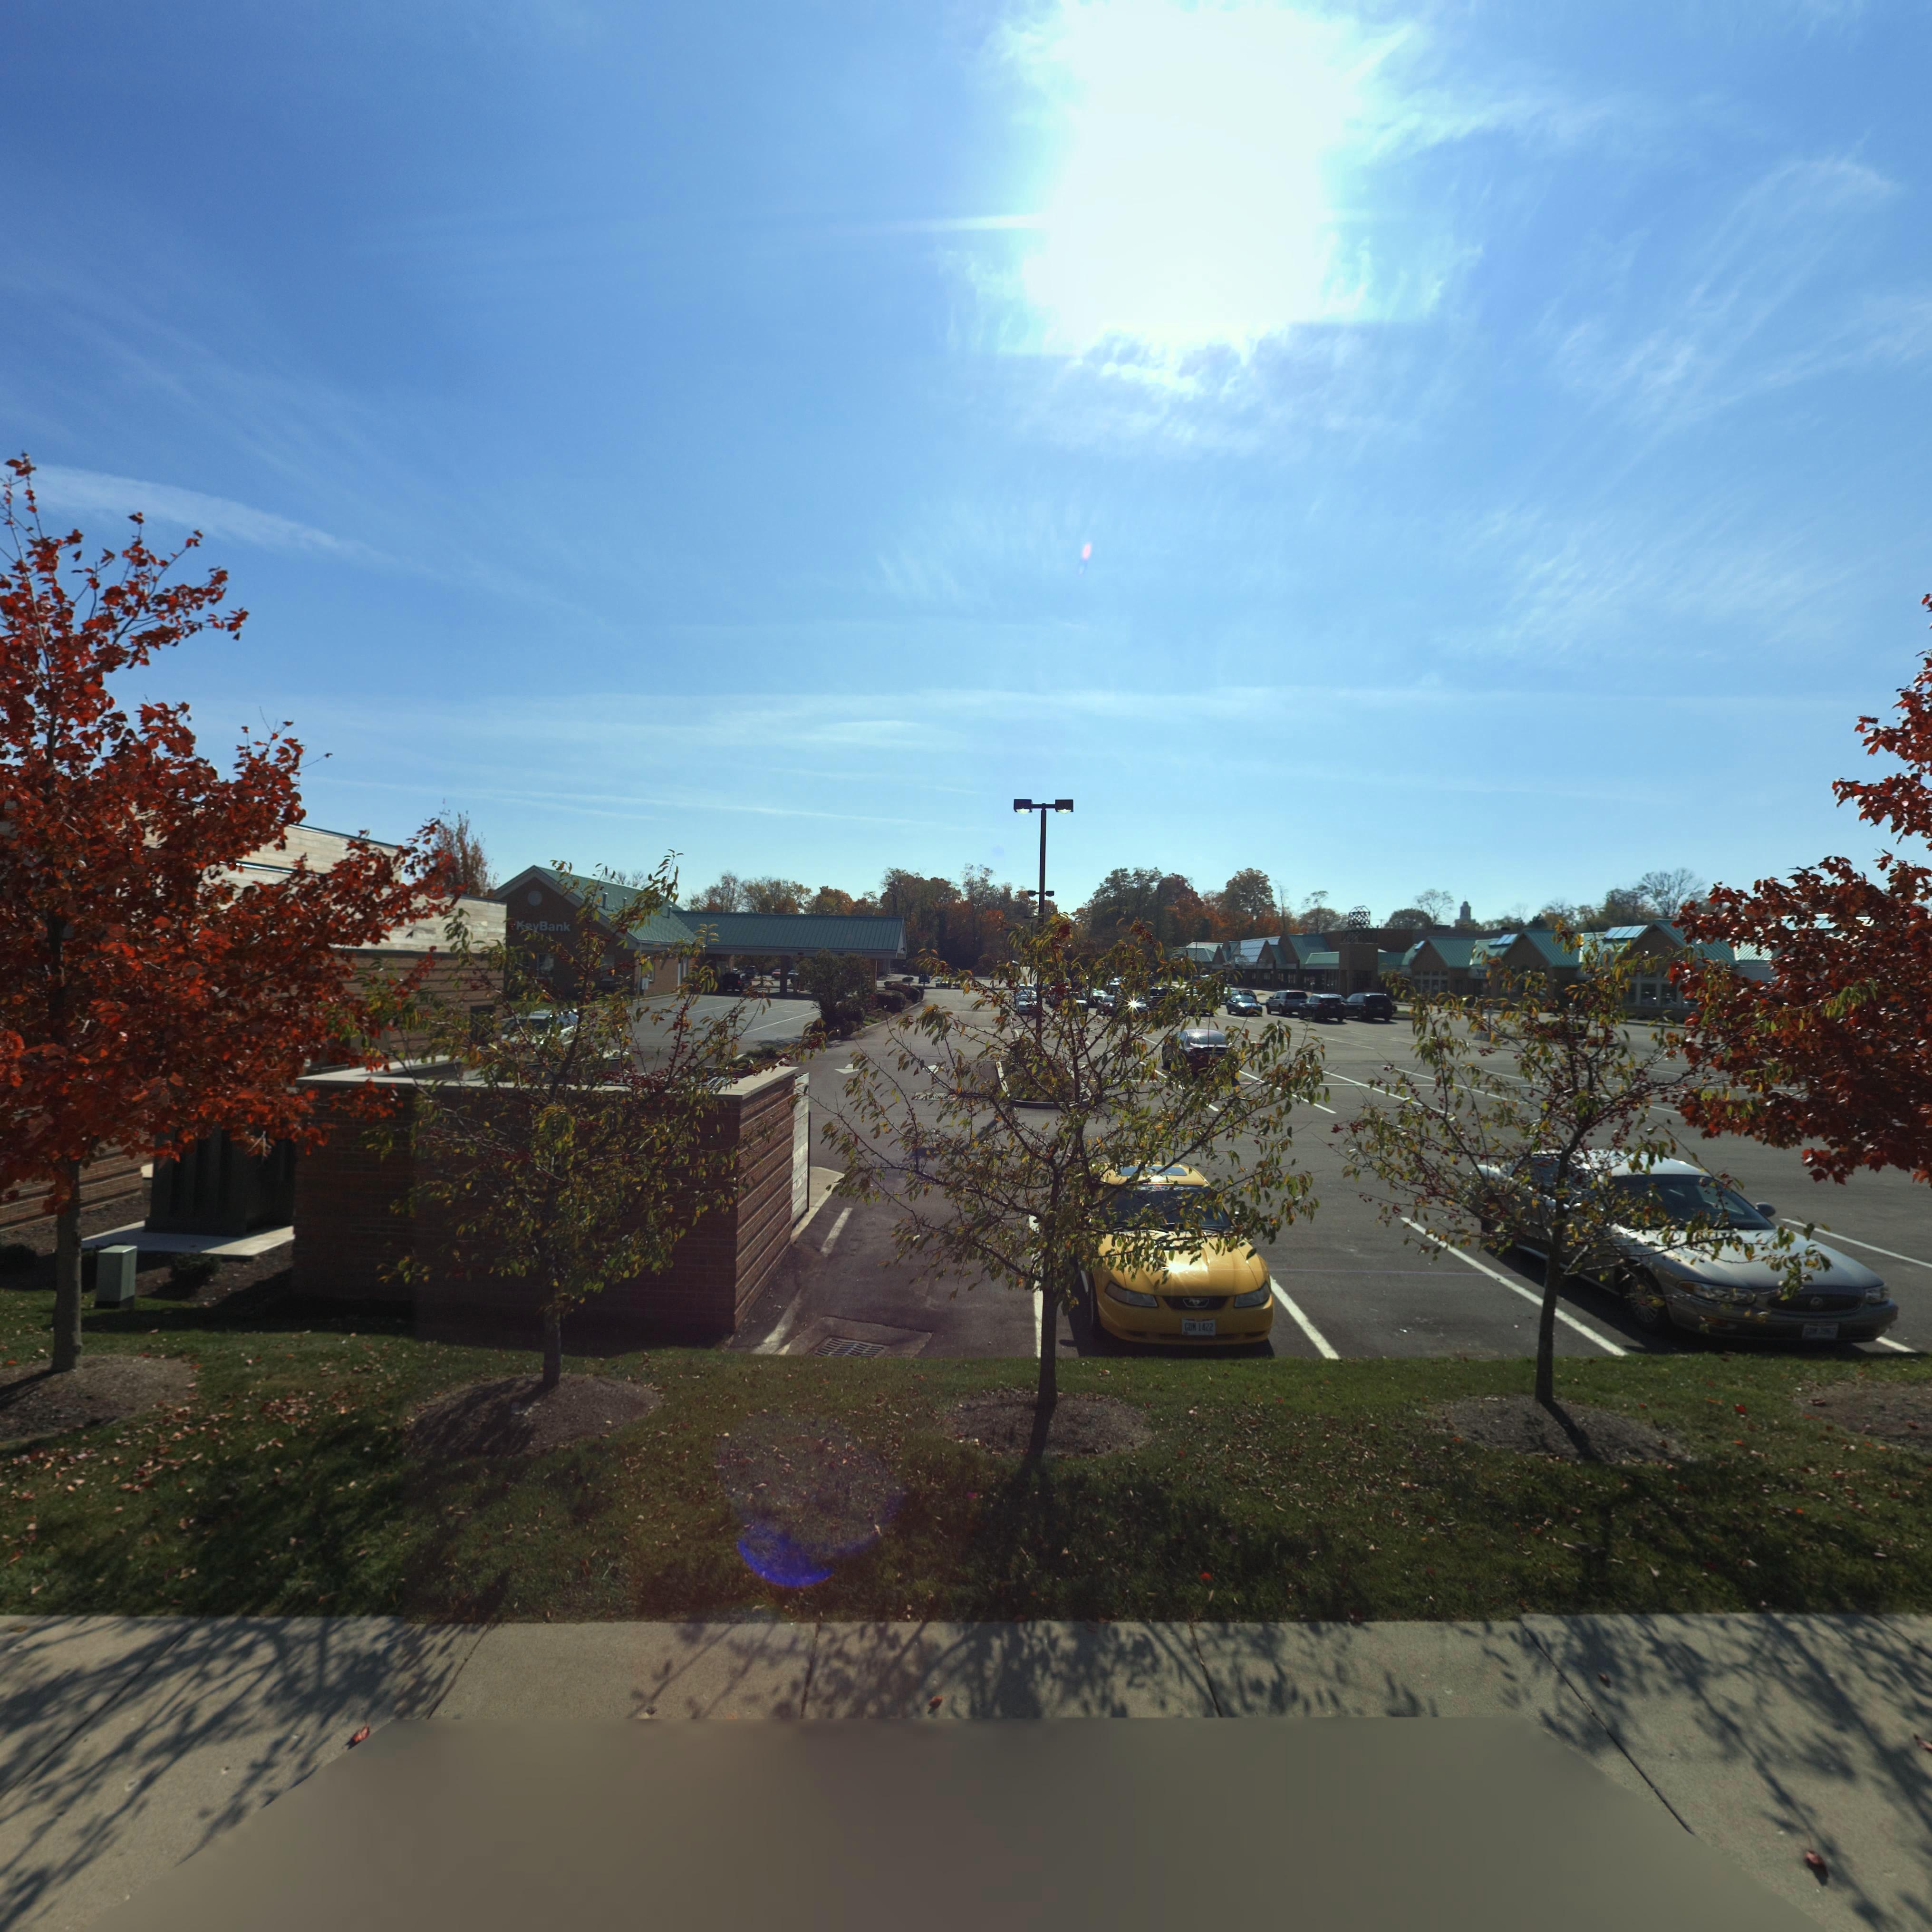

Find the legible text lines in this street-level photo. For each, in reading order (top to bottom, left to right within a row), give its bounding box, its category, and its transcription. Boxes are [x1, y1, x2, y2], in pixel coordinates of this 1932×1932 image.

[515, 919, 572, 935] BusinessName: K*y Bank